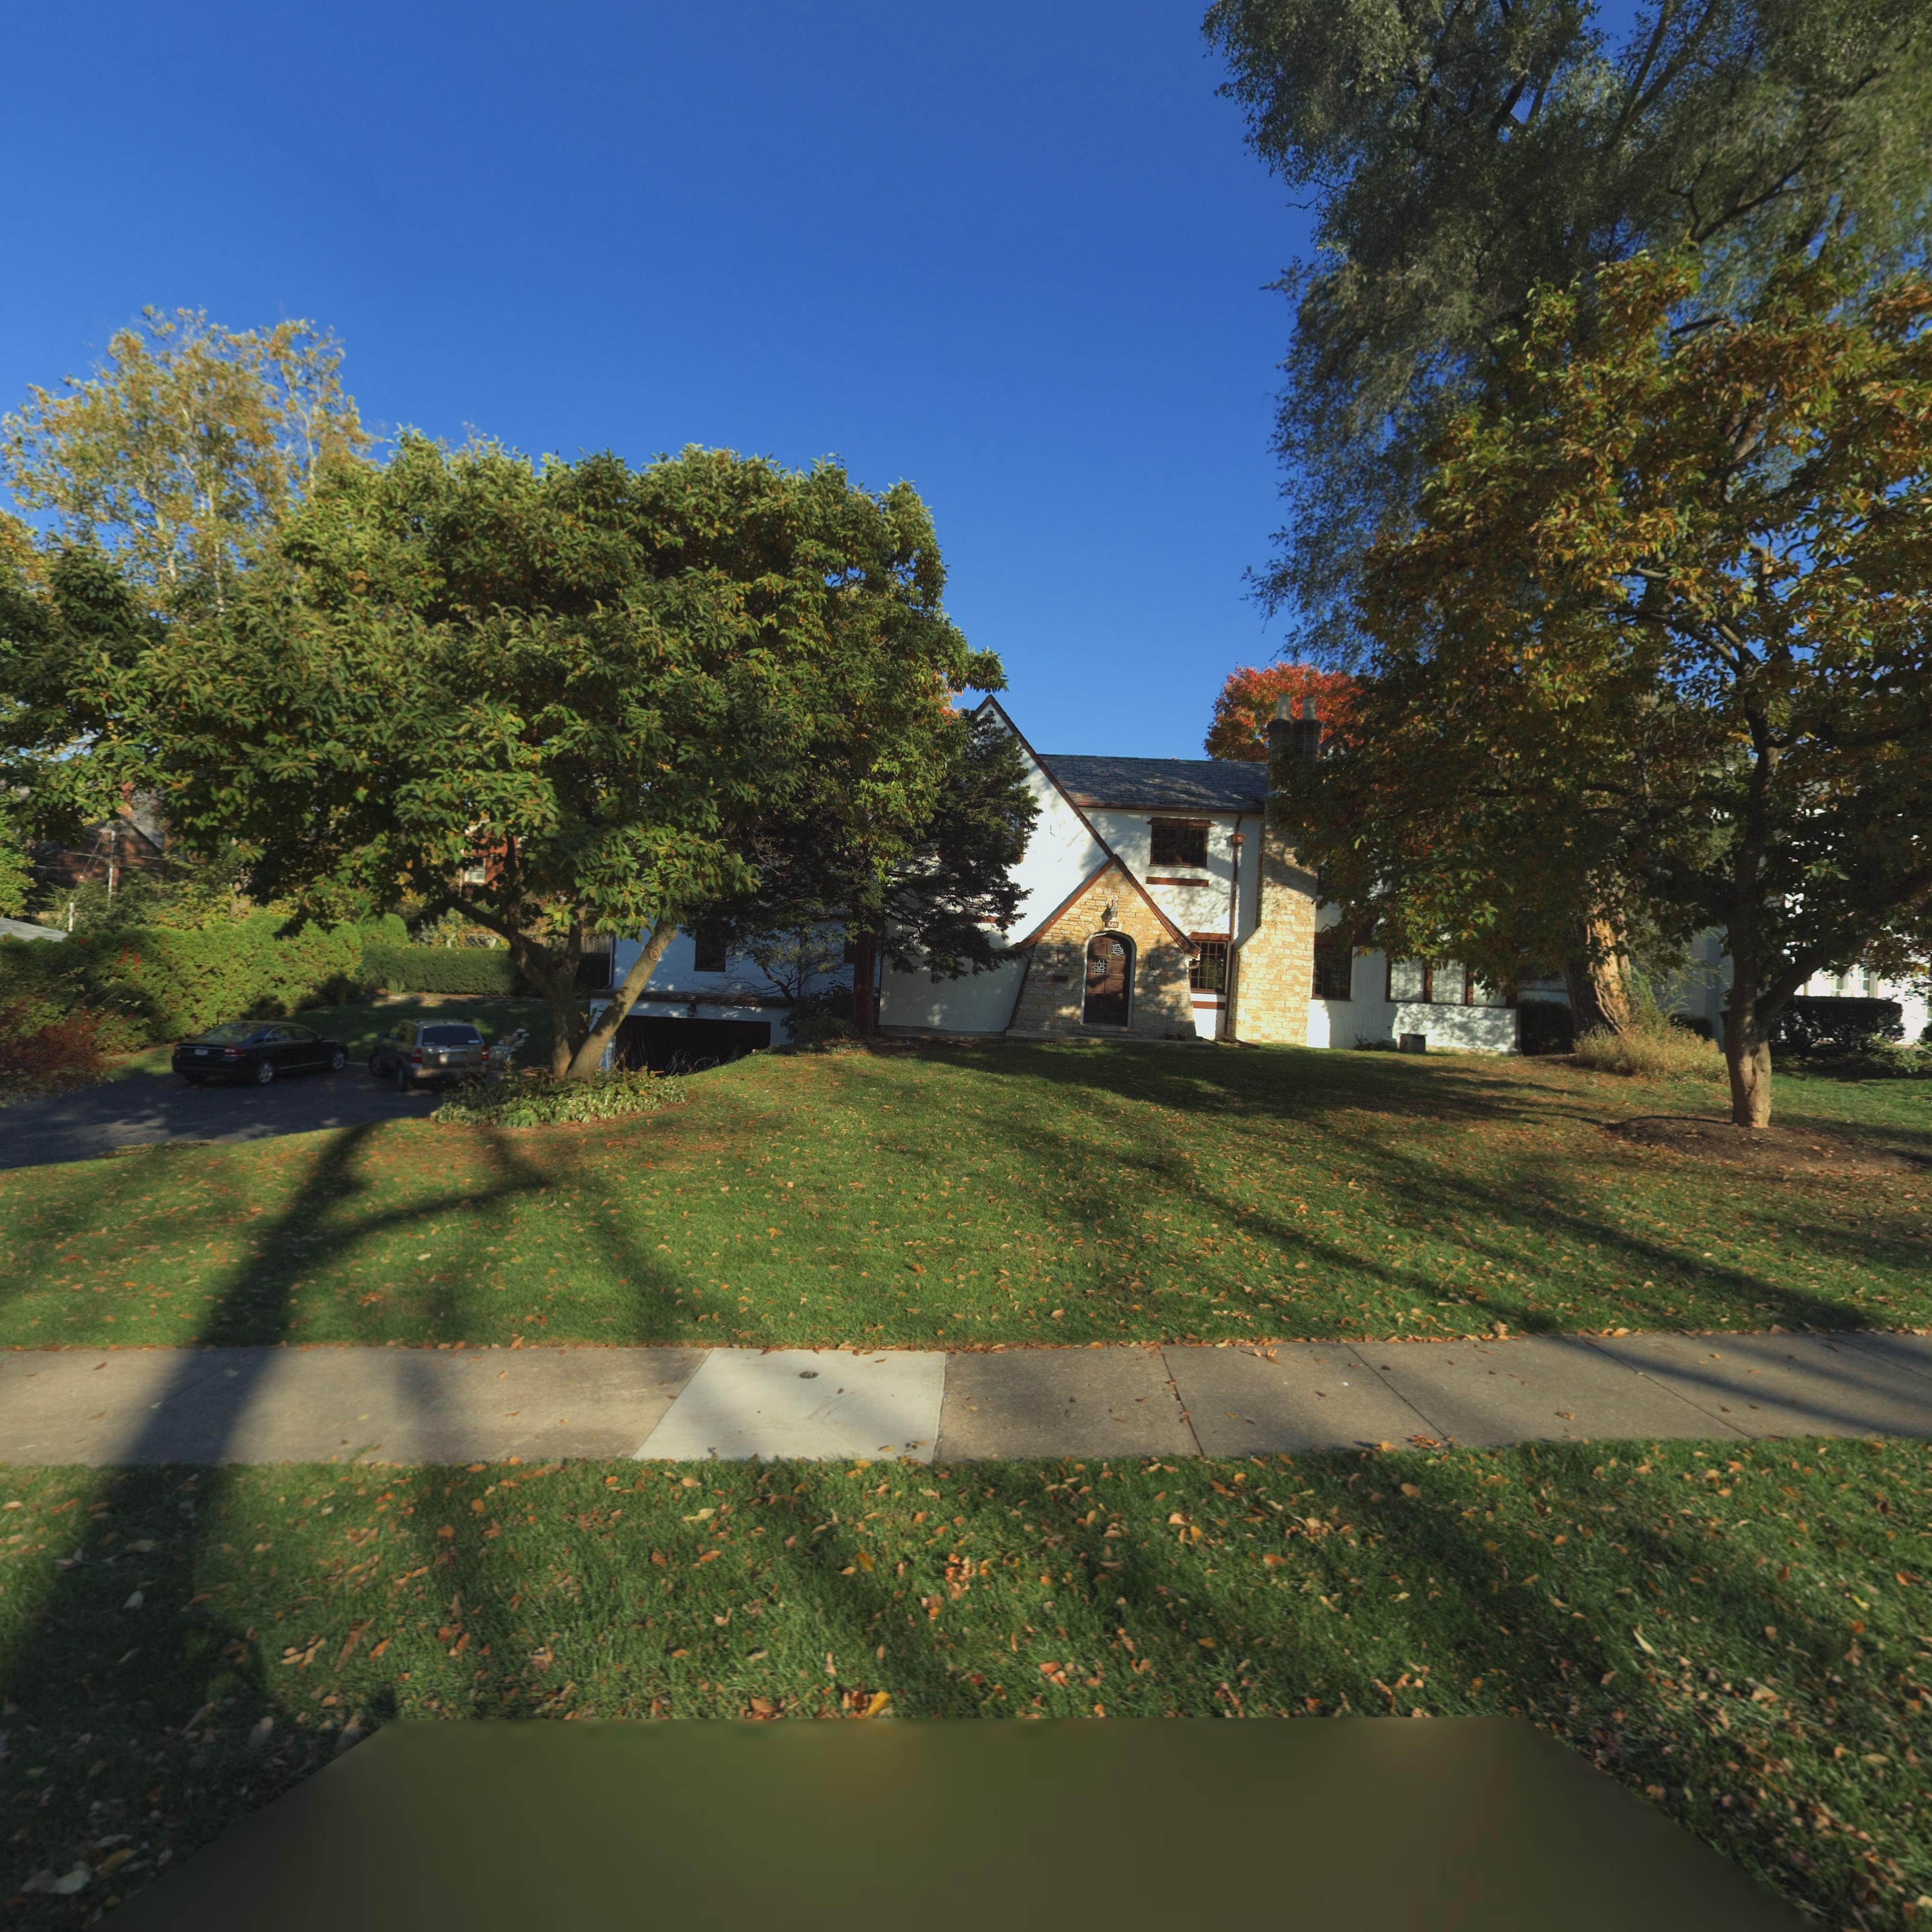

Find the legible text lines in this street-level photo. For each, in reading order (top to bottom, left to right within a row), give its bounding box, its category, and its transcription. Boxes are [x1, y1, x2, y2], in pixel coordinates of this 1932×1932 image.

[1107, 921, 1118, 927] StreetNumber: 426